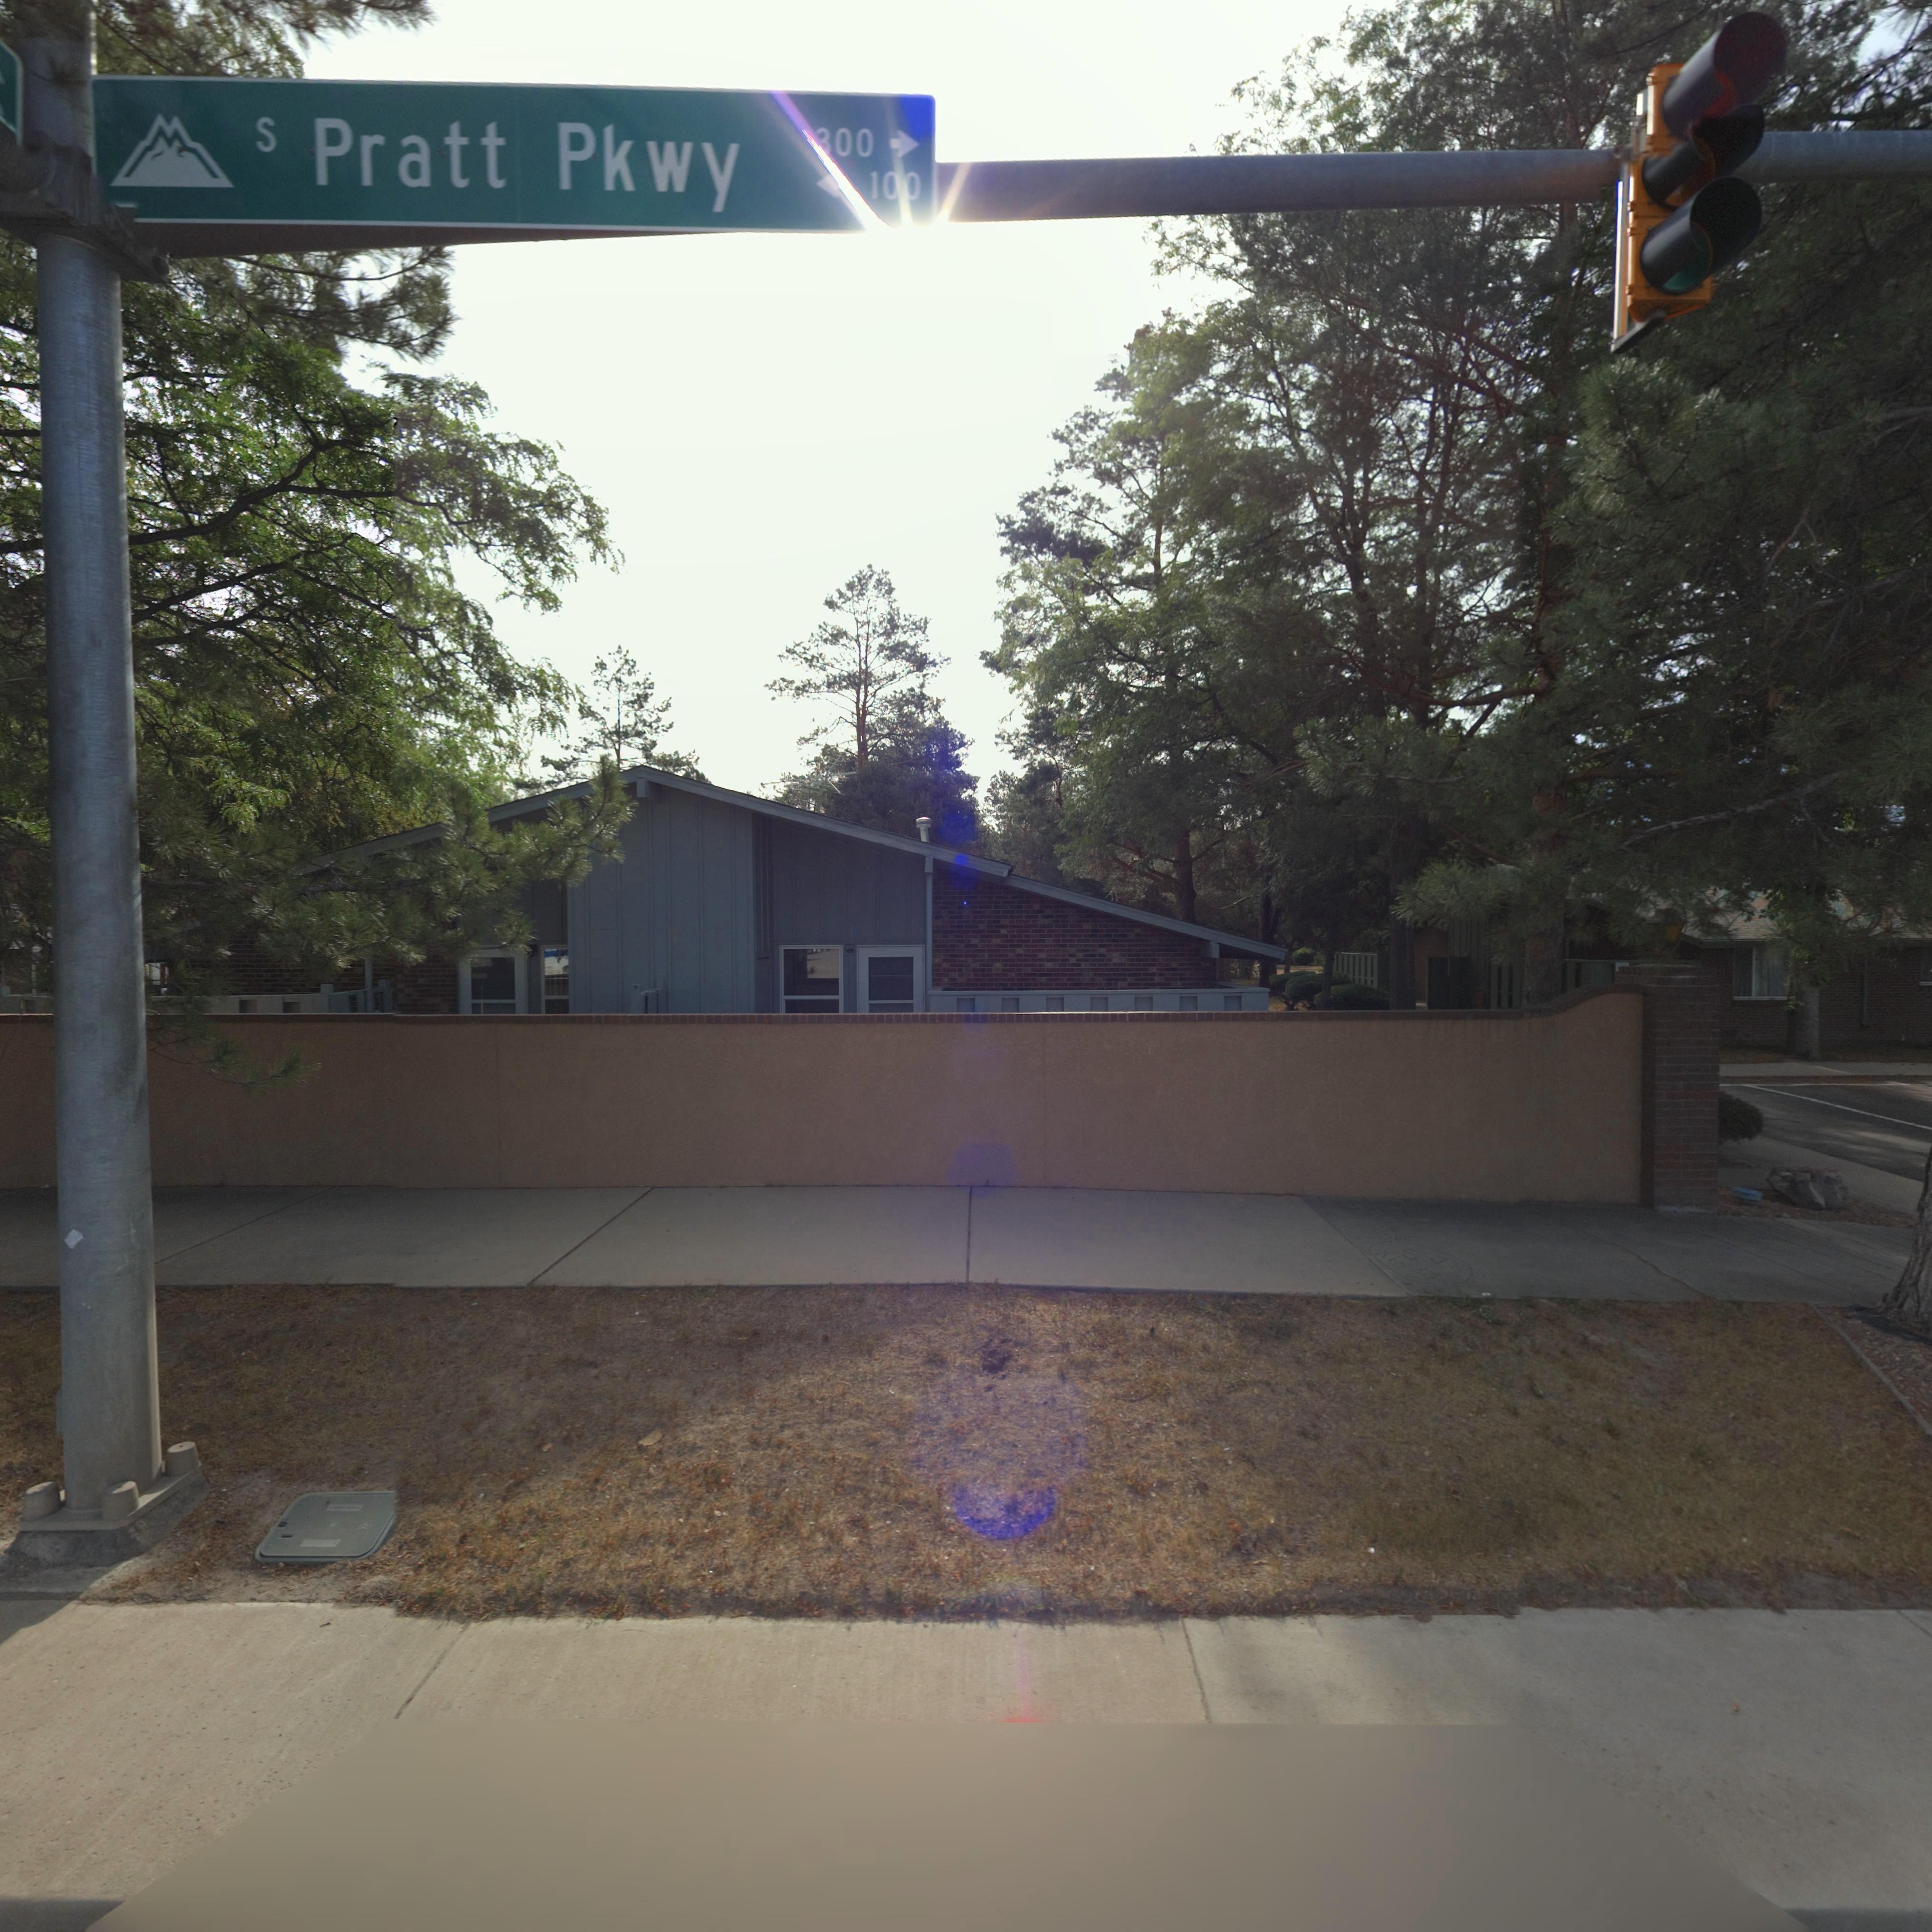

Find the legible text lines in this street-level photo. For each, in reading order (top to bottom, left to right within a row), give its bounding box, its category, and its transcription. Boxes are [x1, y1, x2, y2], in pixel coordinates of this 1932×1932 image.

[811, 126, 927, 159] StreetNumberRange: *00->
[257, 116, 741, 213] StreetName: S Pratt Pkwy
[866, 169, 924, 201] StreetNumberRange: 1**